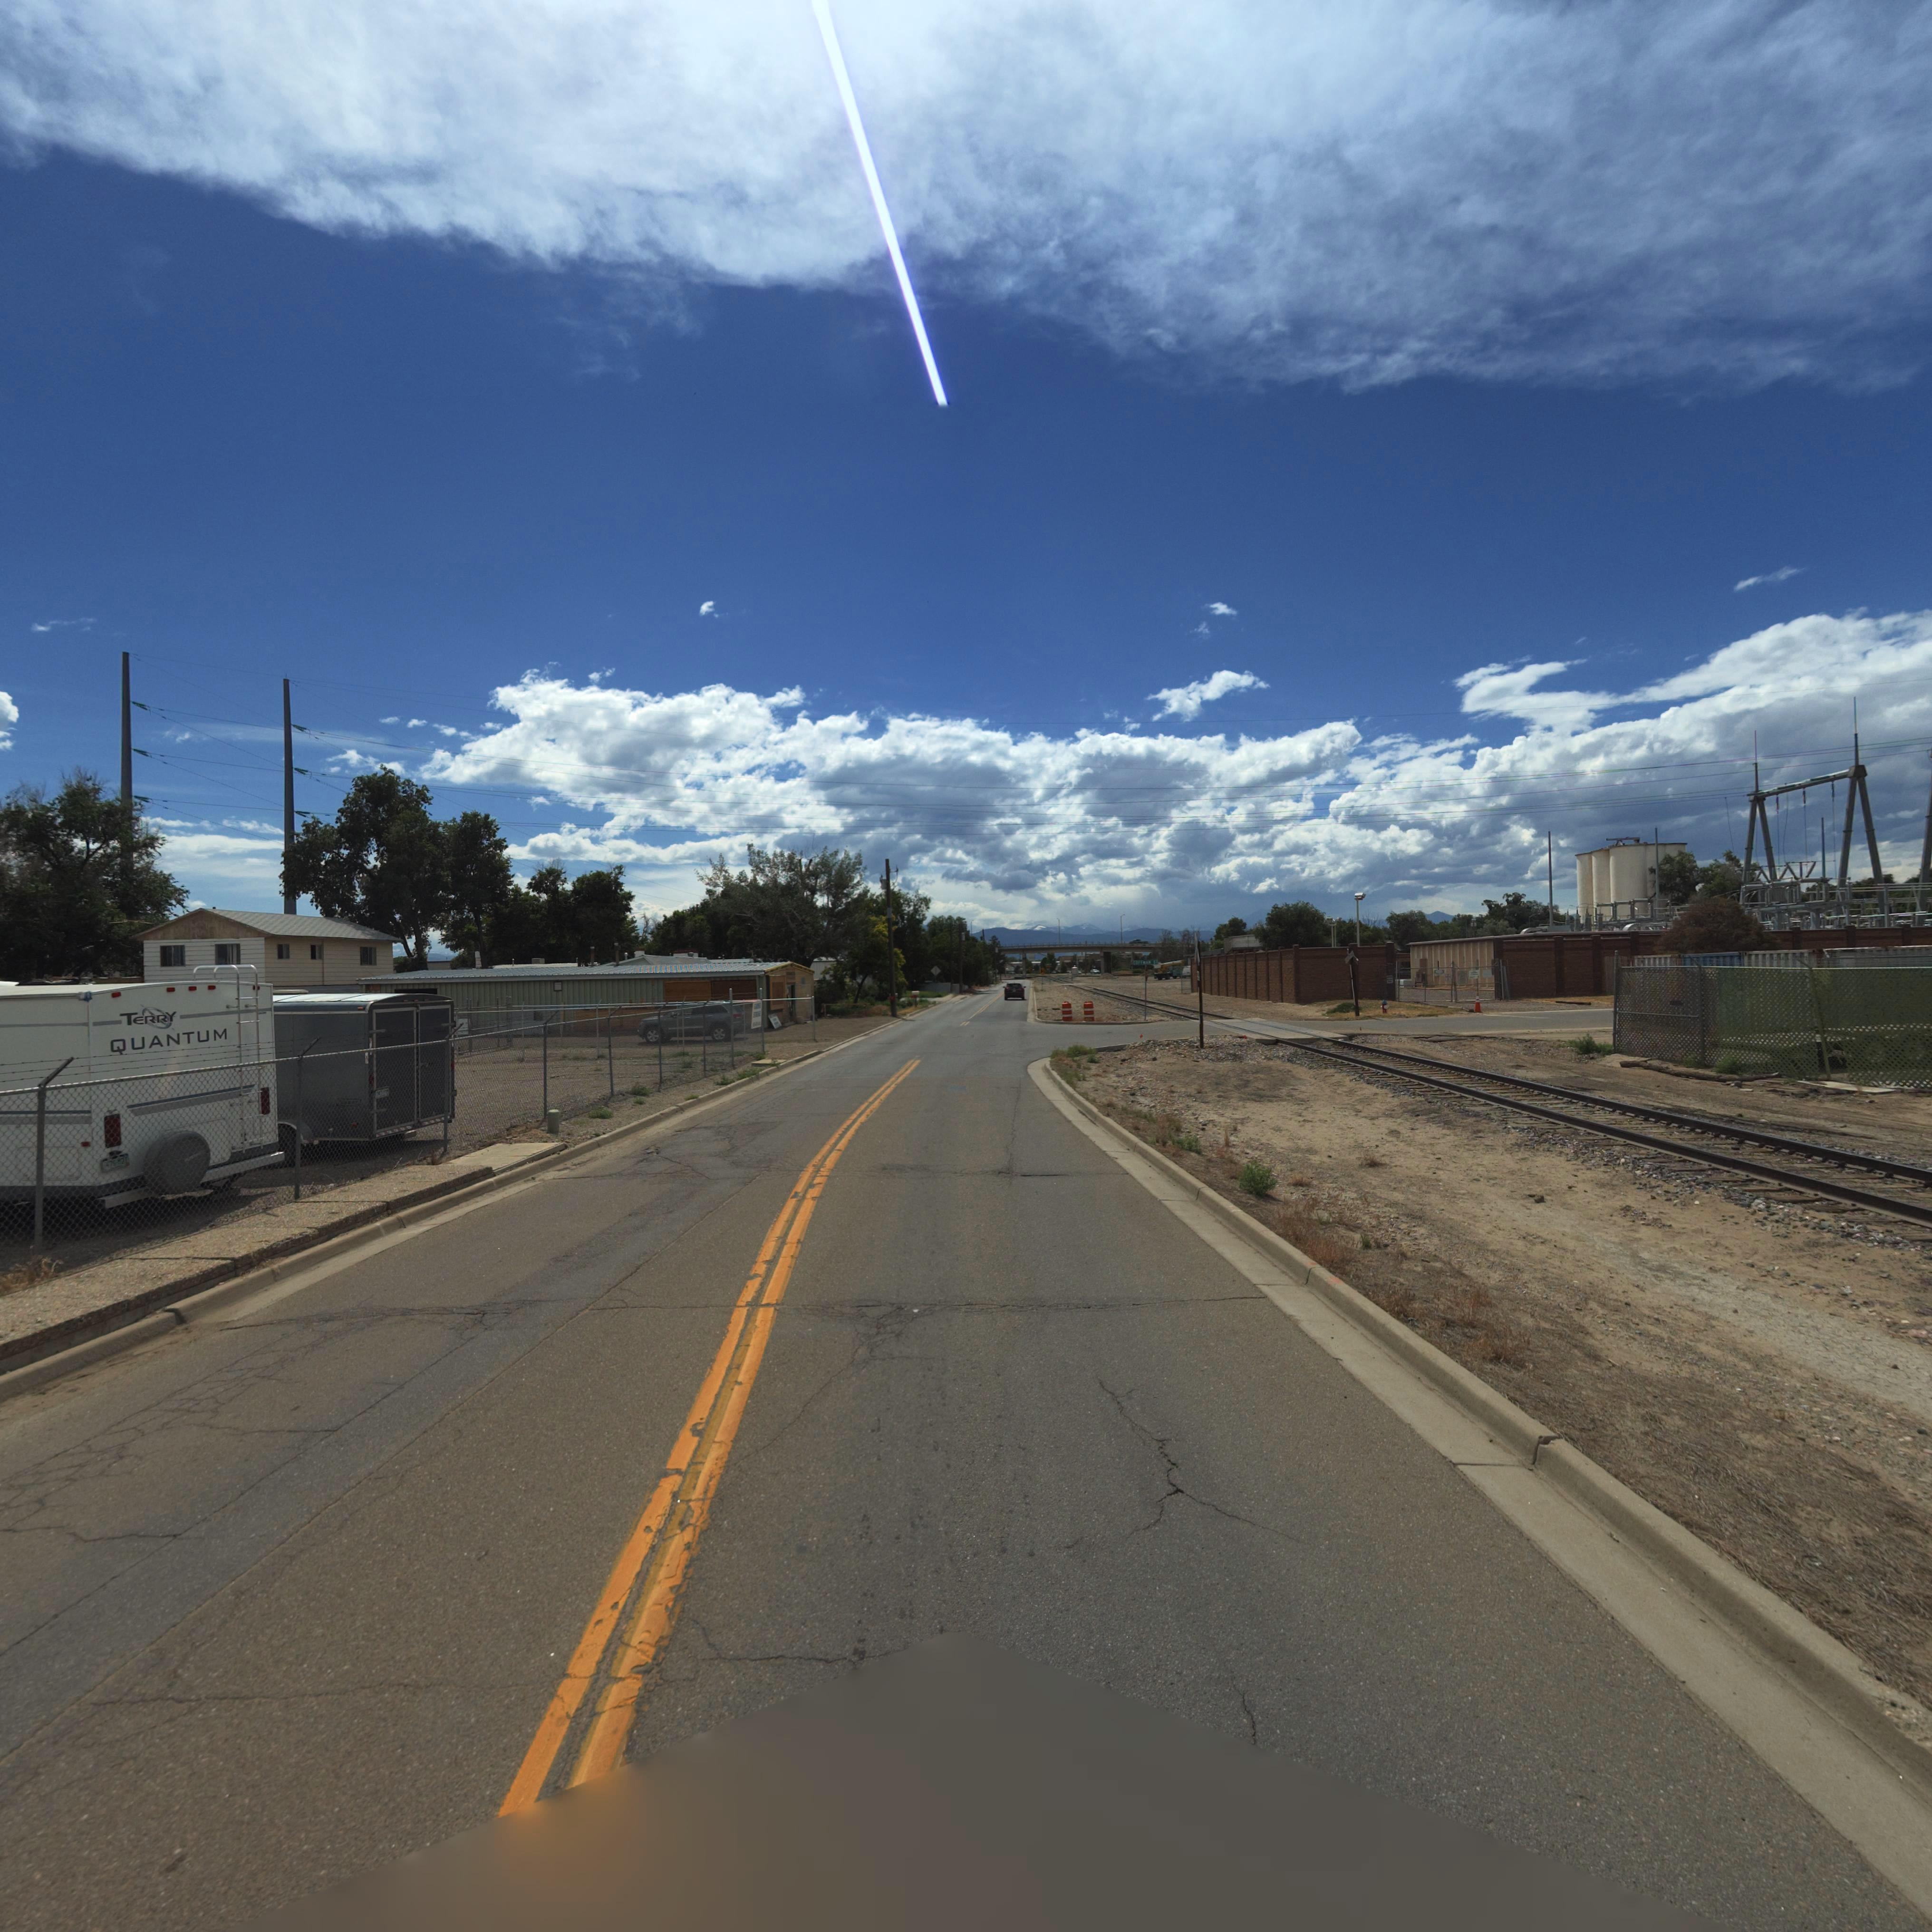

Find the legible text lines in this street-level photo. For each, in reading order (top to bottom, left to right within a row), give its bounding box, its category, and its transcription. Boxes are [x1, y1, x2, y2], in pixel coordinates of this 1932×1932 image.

[1132, 960, 1158, 965] StreetName: C***MAN ST